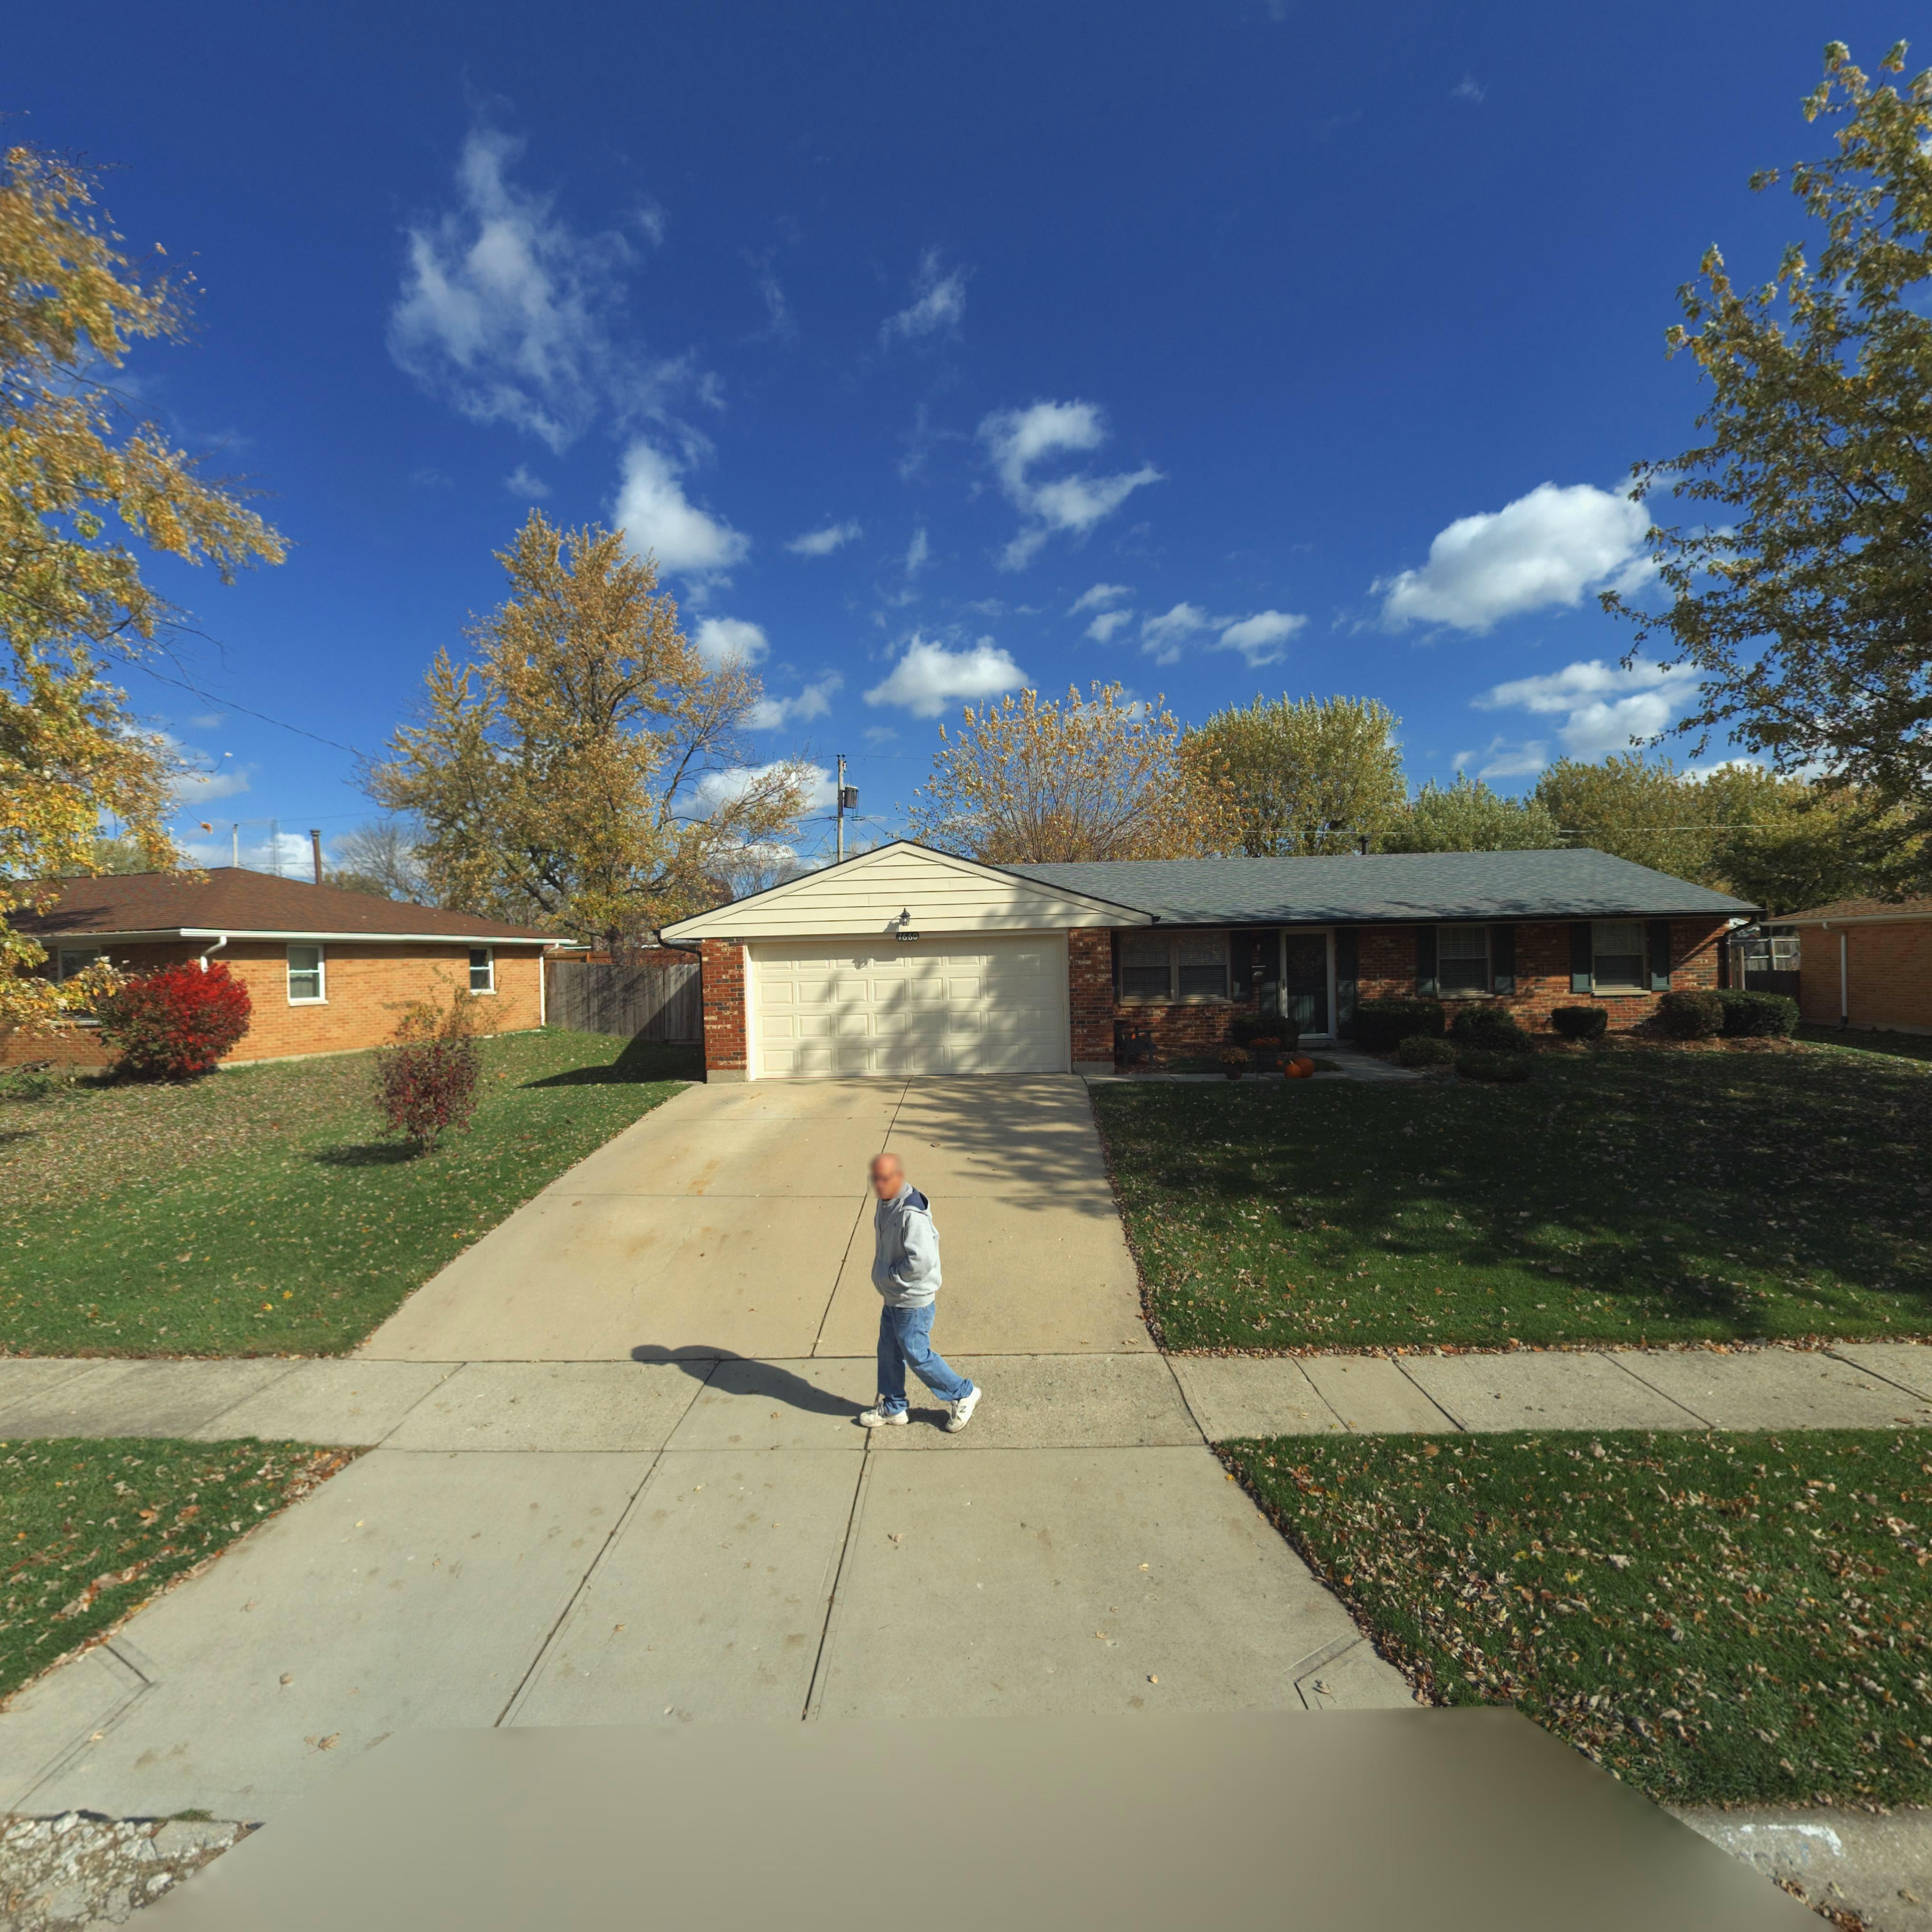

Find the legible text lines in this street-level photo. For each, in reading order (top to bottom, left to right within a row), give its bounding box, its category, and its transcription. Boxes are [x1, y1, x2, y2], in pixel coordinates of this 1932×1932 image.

[897, 931, 919, 942] StreetNumber: 7660